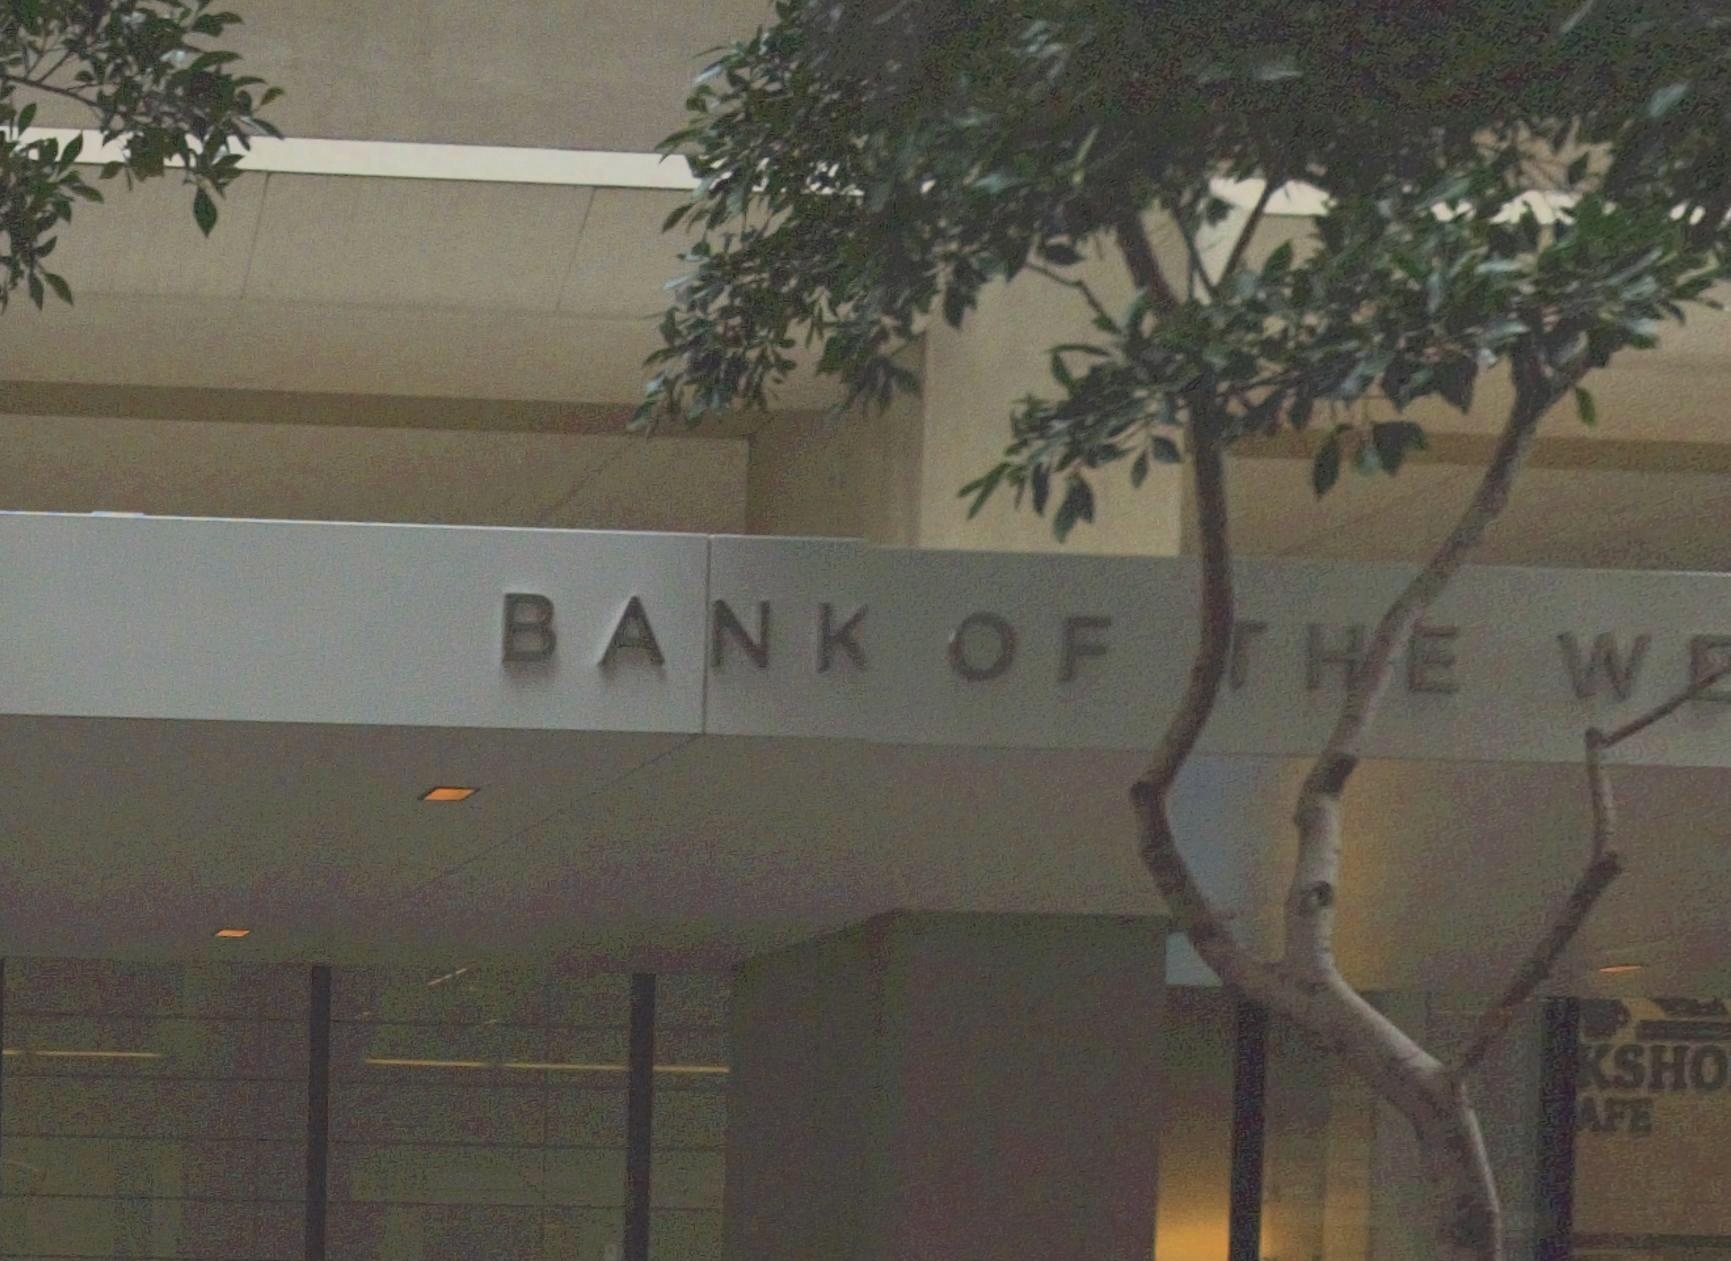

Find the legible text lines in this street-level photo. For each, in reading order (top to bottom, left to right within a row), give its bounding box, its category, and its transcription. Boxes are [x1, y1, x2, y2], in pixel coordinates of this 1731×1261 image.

[495, 585, 1663, 712] BusinessName: BANK OF *HE W
[1609, 1038, 1730, 1094] None: SHO
[1570, 1092, 1659, 1136] None: AFE